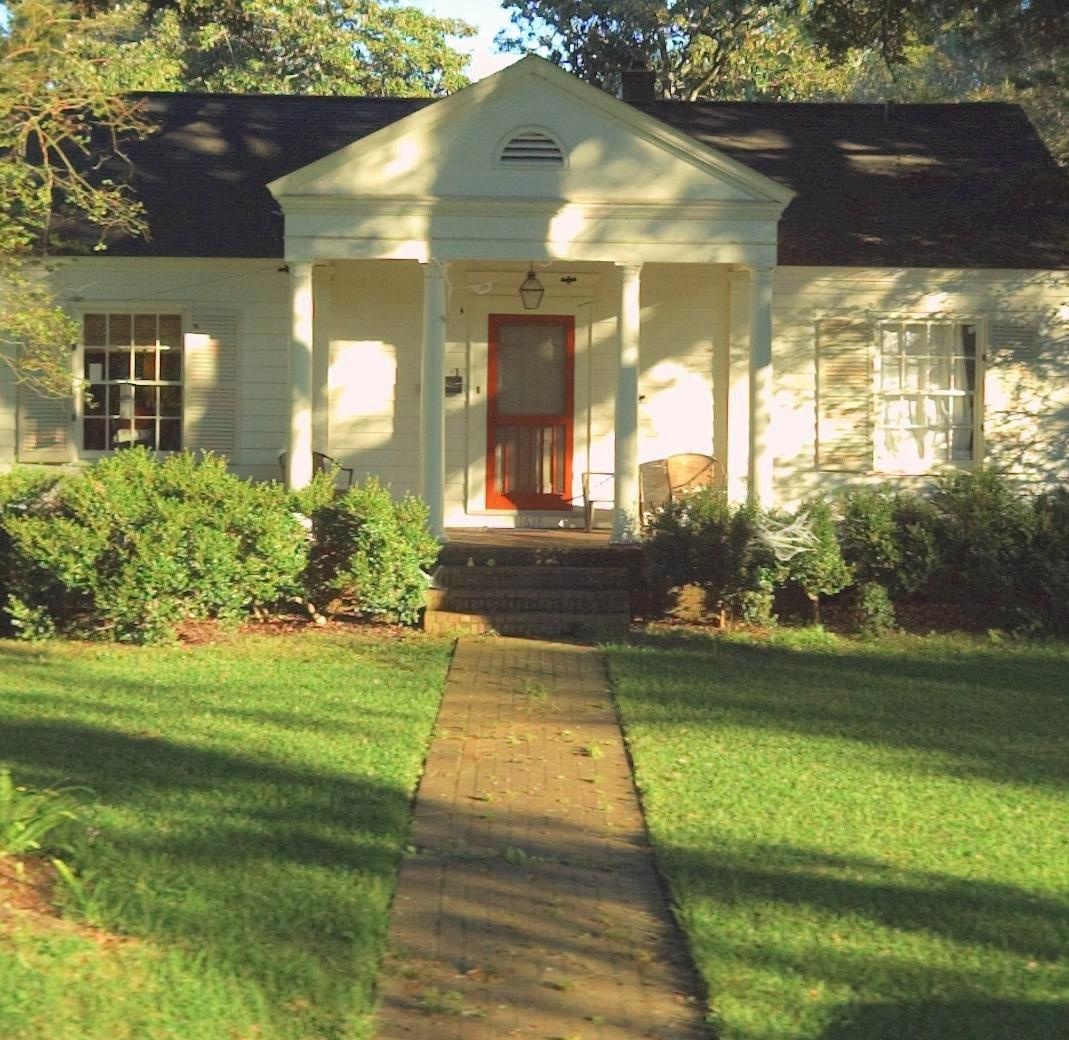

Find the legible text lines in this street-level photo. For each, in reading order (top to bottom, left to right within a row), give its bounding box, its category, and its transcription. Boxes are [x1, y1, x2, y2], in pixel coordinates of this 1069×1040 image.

[517, 514, 545, 529] StreetNumber: 1638